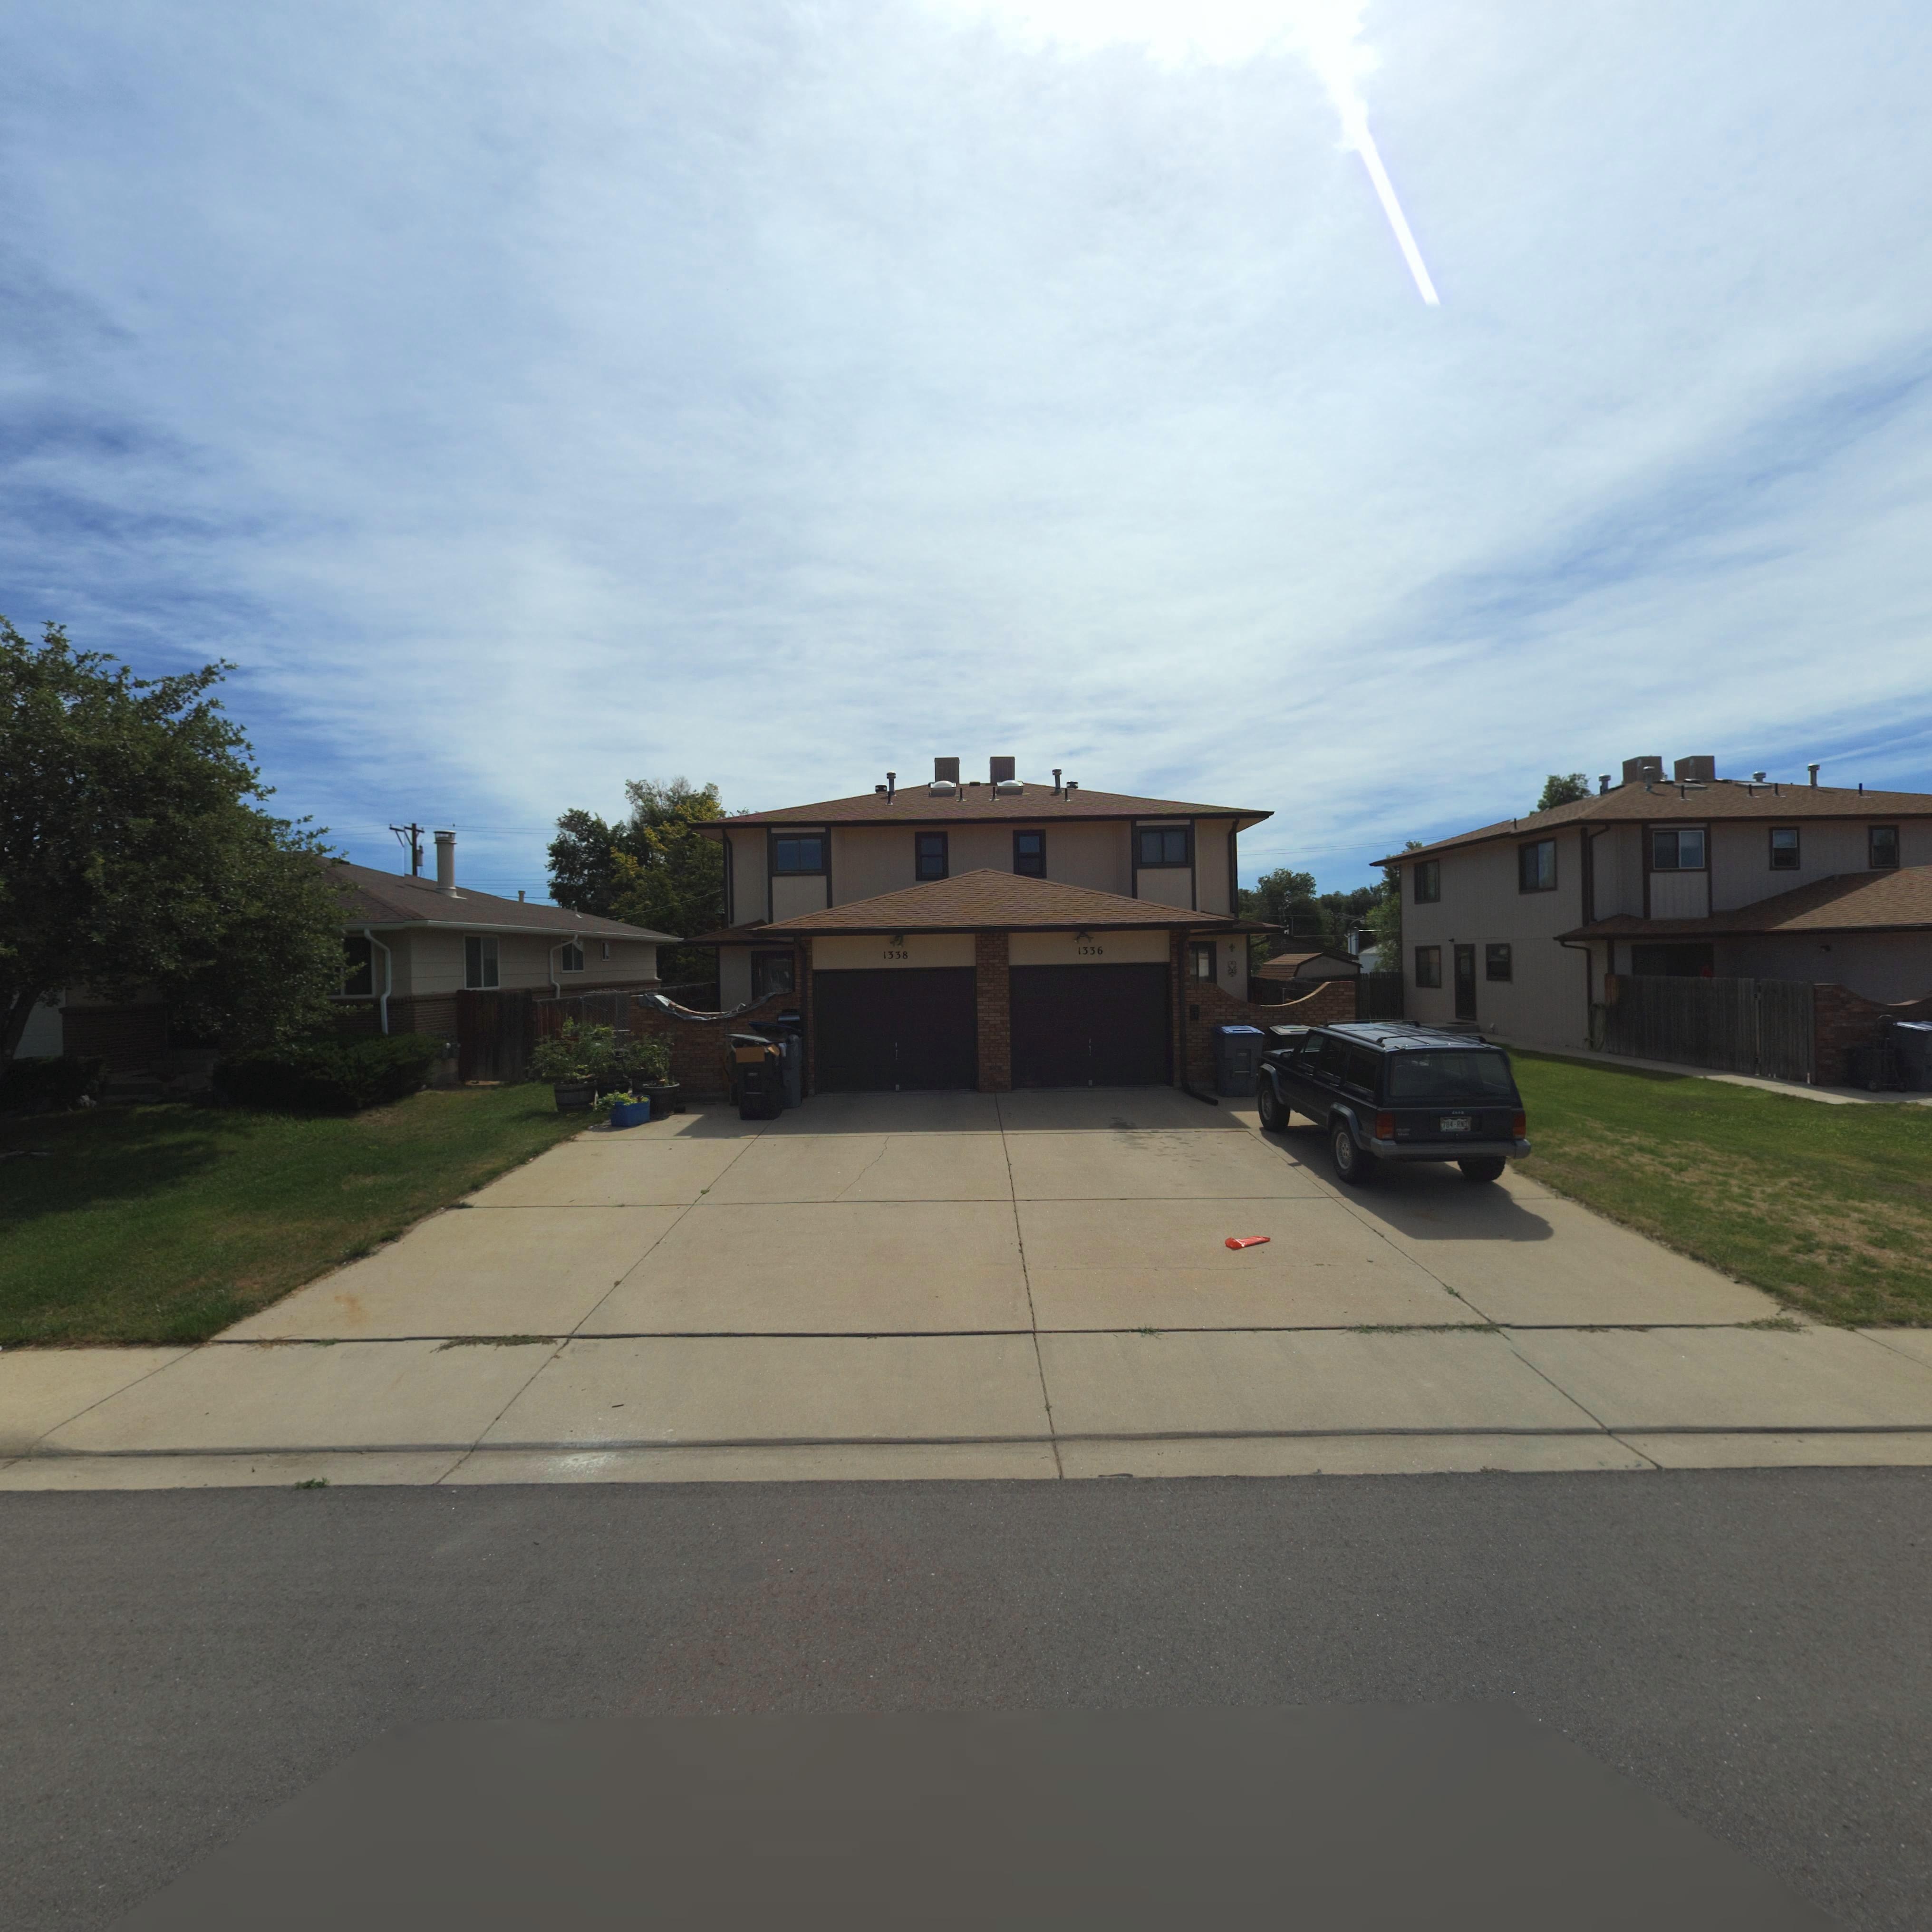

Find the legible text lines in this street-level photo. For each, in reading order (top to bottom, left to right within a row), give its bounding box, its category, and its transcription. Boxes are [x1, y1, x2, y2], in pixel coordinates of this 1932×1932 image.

[884, 950, 908, 959] StreetNumber: 1338
[1078, 946, 1103, 955] StreetNumber: 1336